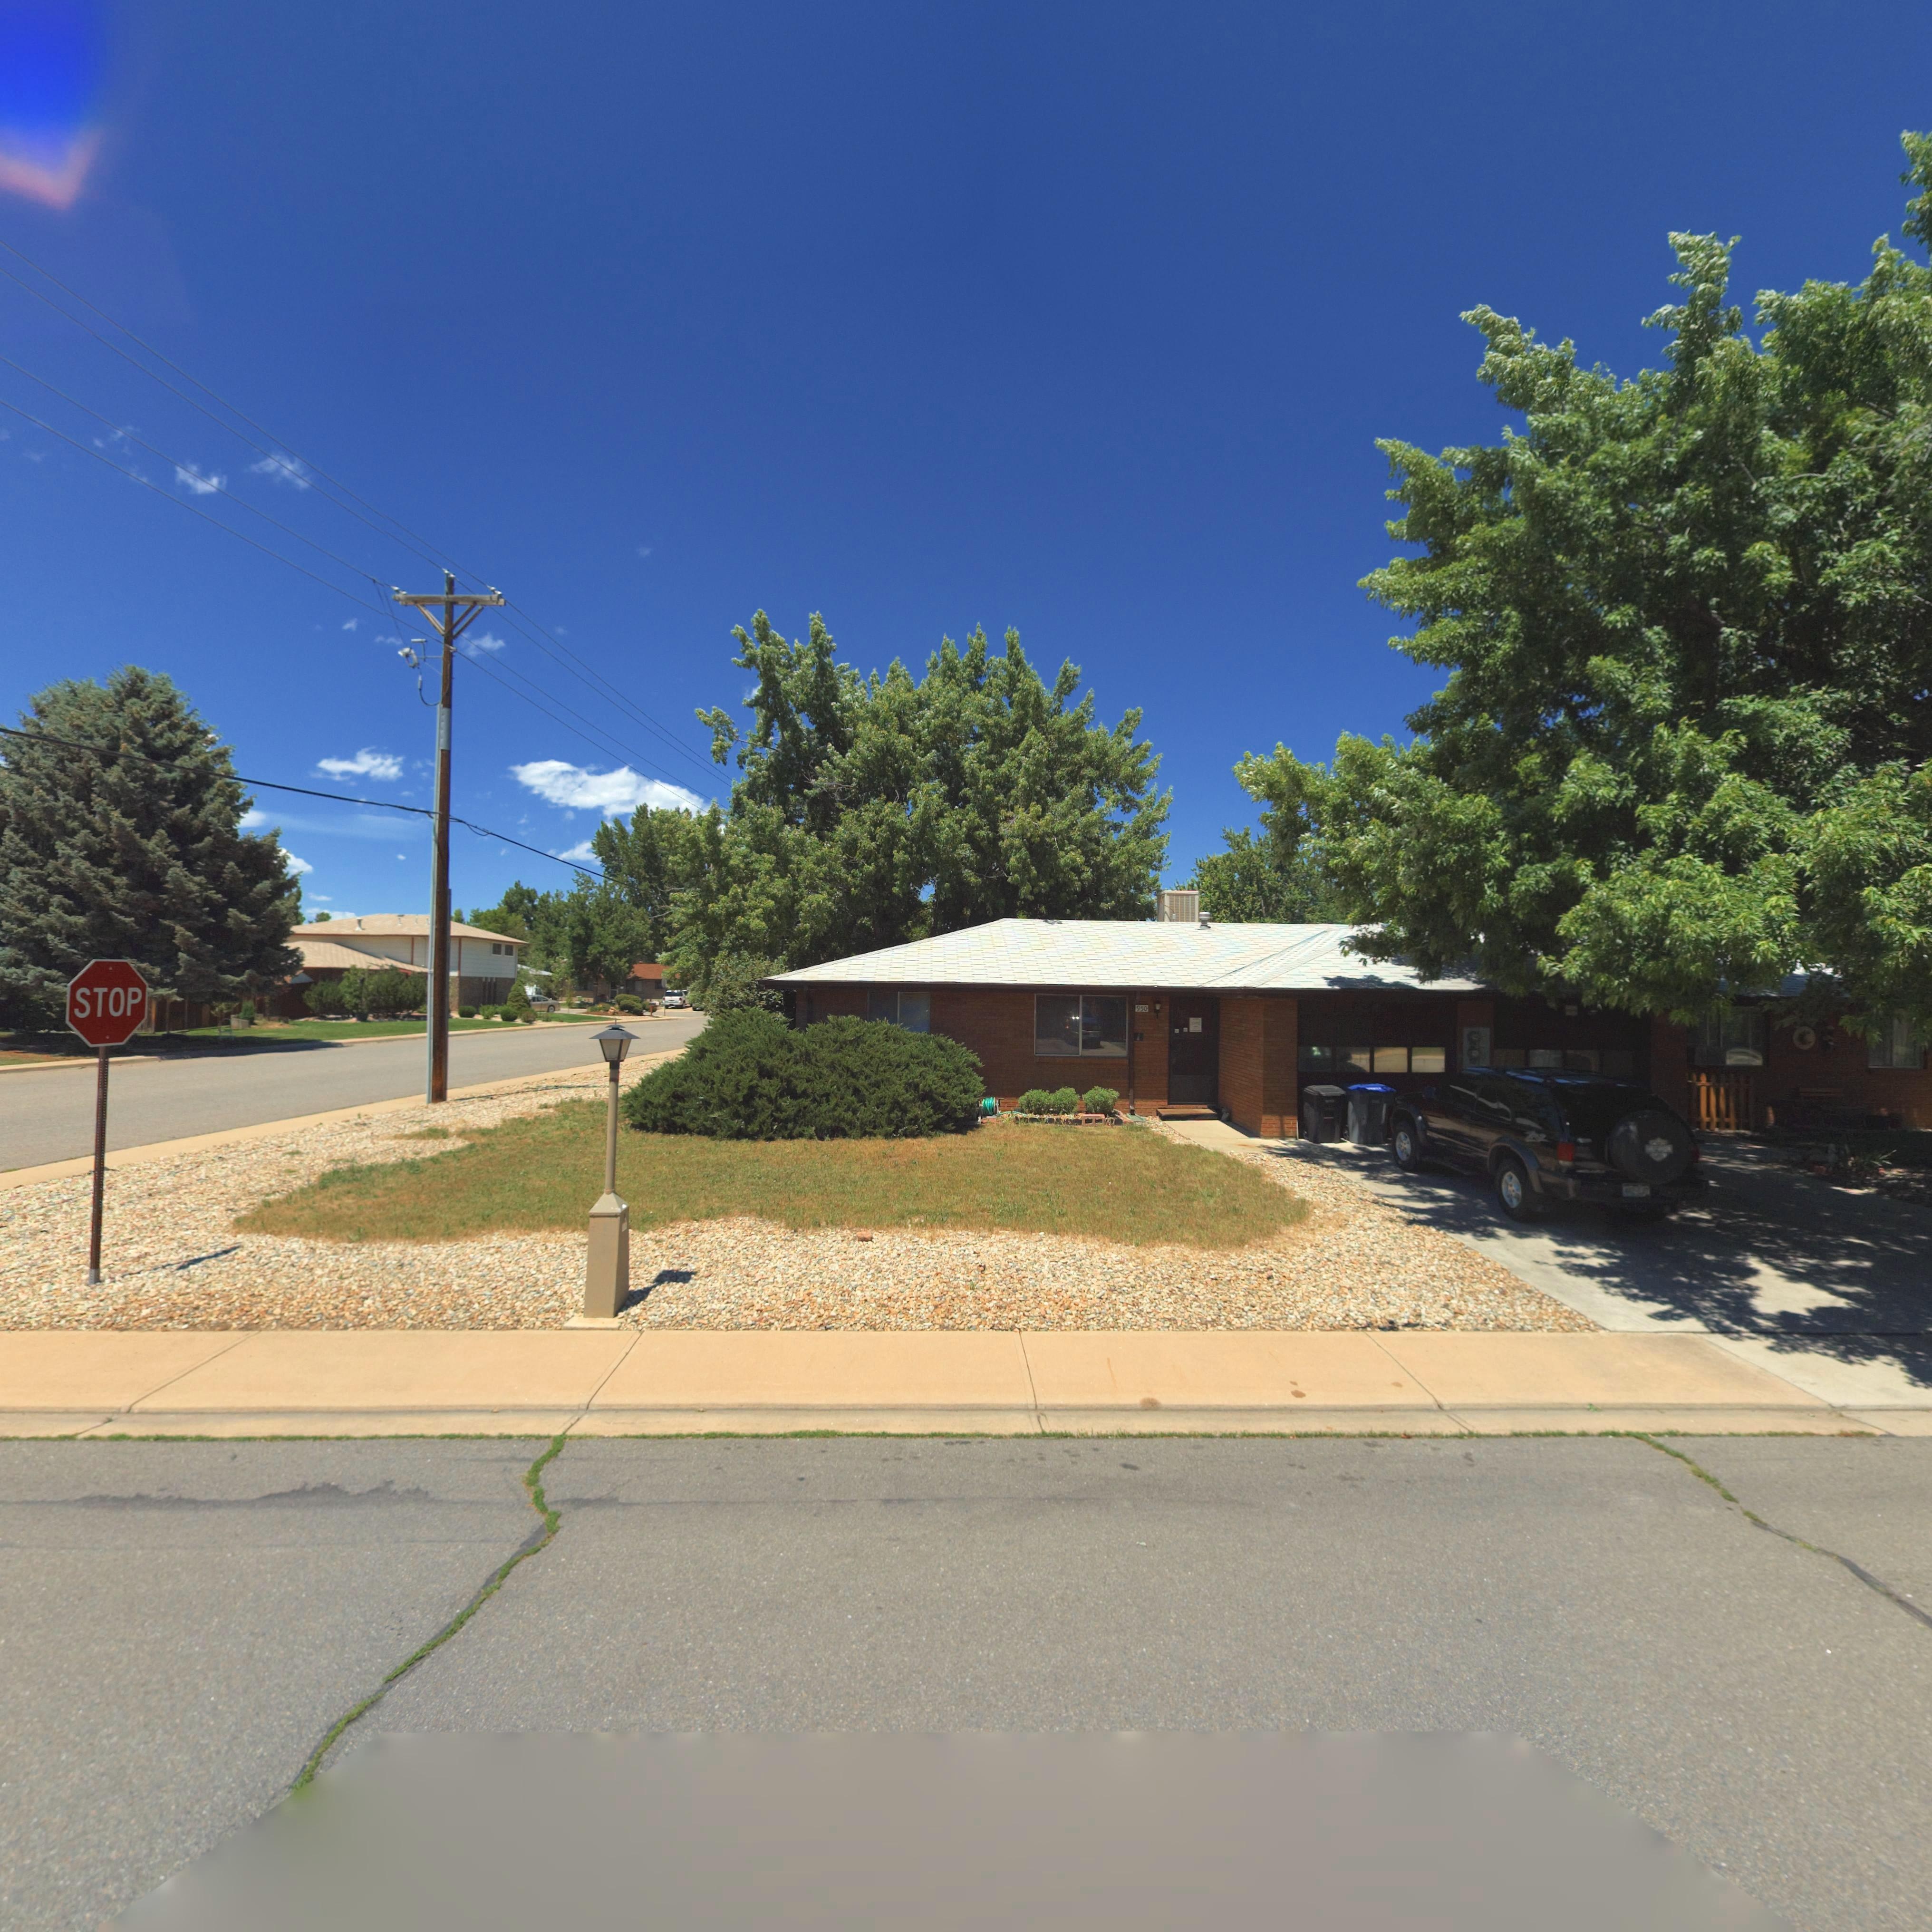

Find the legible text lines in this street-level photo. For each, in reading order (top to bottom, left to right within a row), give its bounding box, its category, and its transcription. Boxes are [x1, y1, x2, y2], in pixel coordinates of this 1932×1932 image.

[1136, 1005, 1147, 1011] StreetNumber: 950